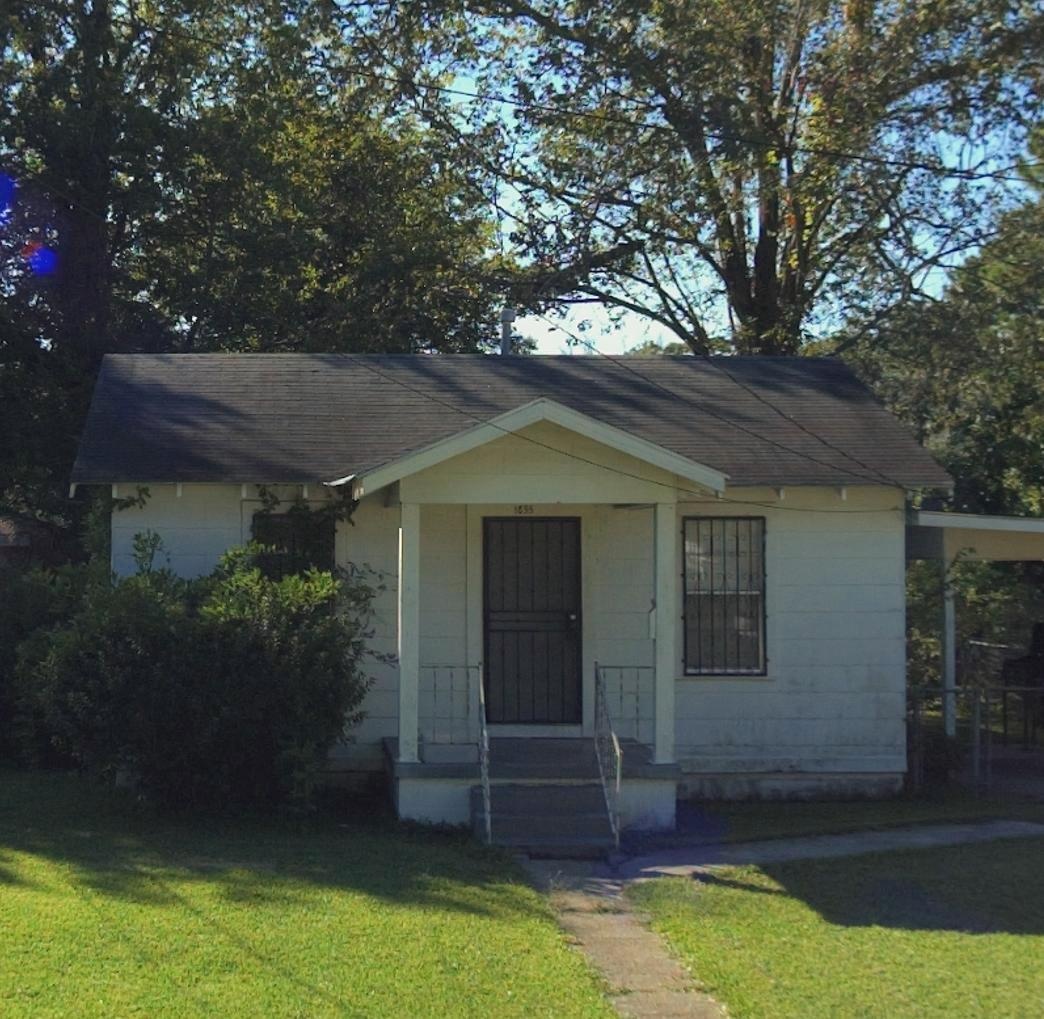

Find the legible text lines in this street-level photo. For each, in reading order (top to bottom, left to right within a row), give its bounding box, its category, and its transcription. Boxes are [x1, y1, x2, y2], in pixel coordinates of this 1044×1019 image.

[514, 504, 535, 515] StreetNumber: 1835